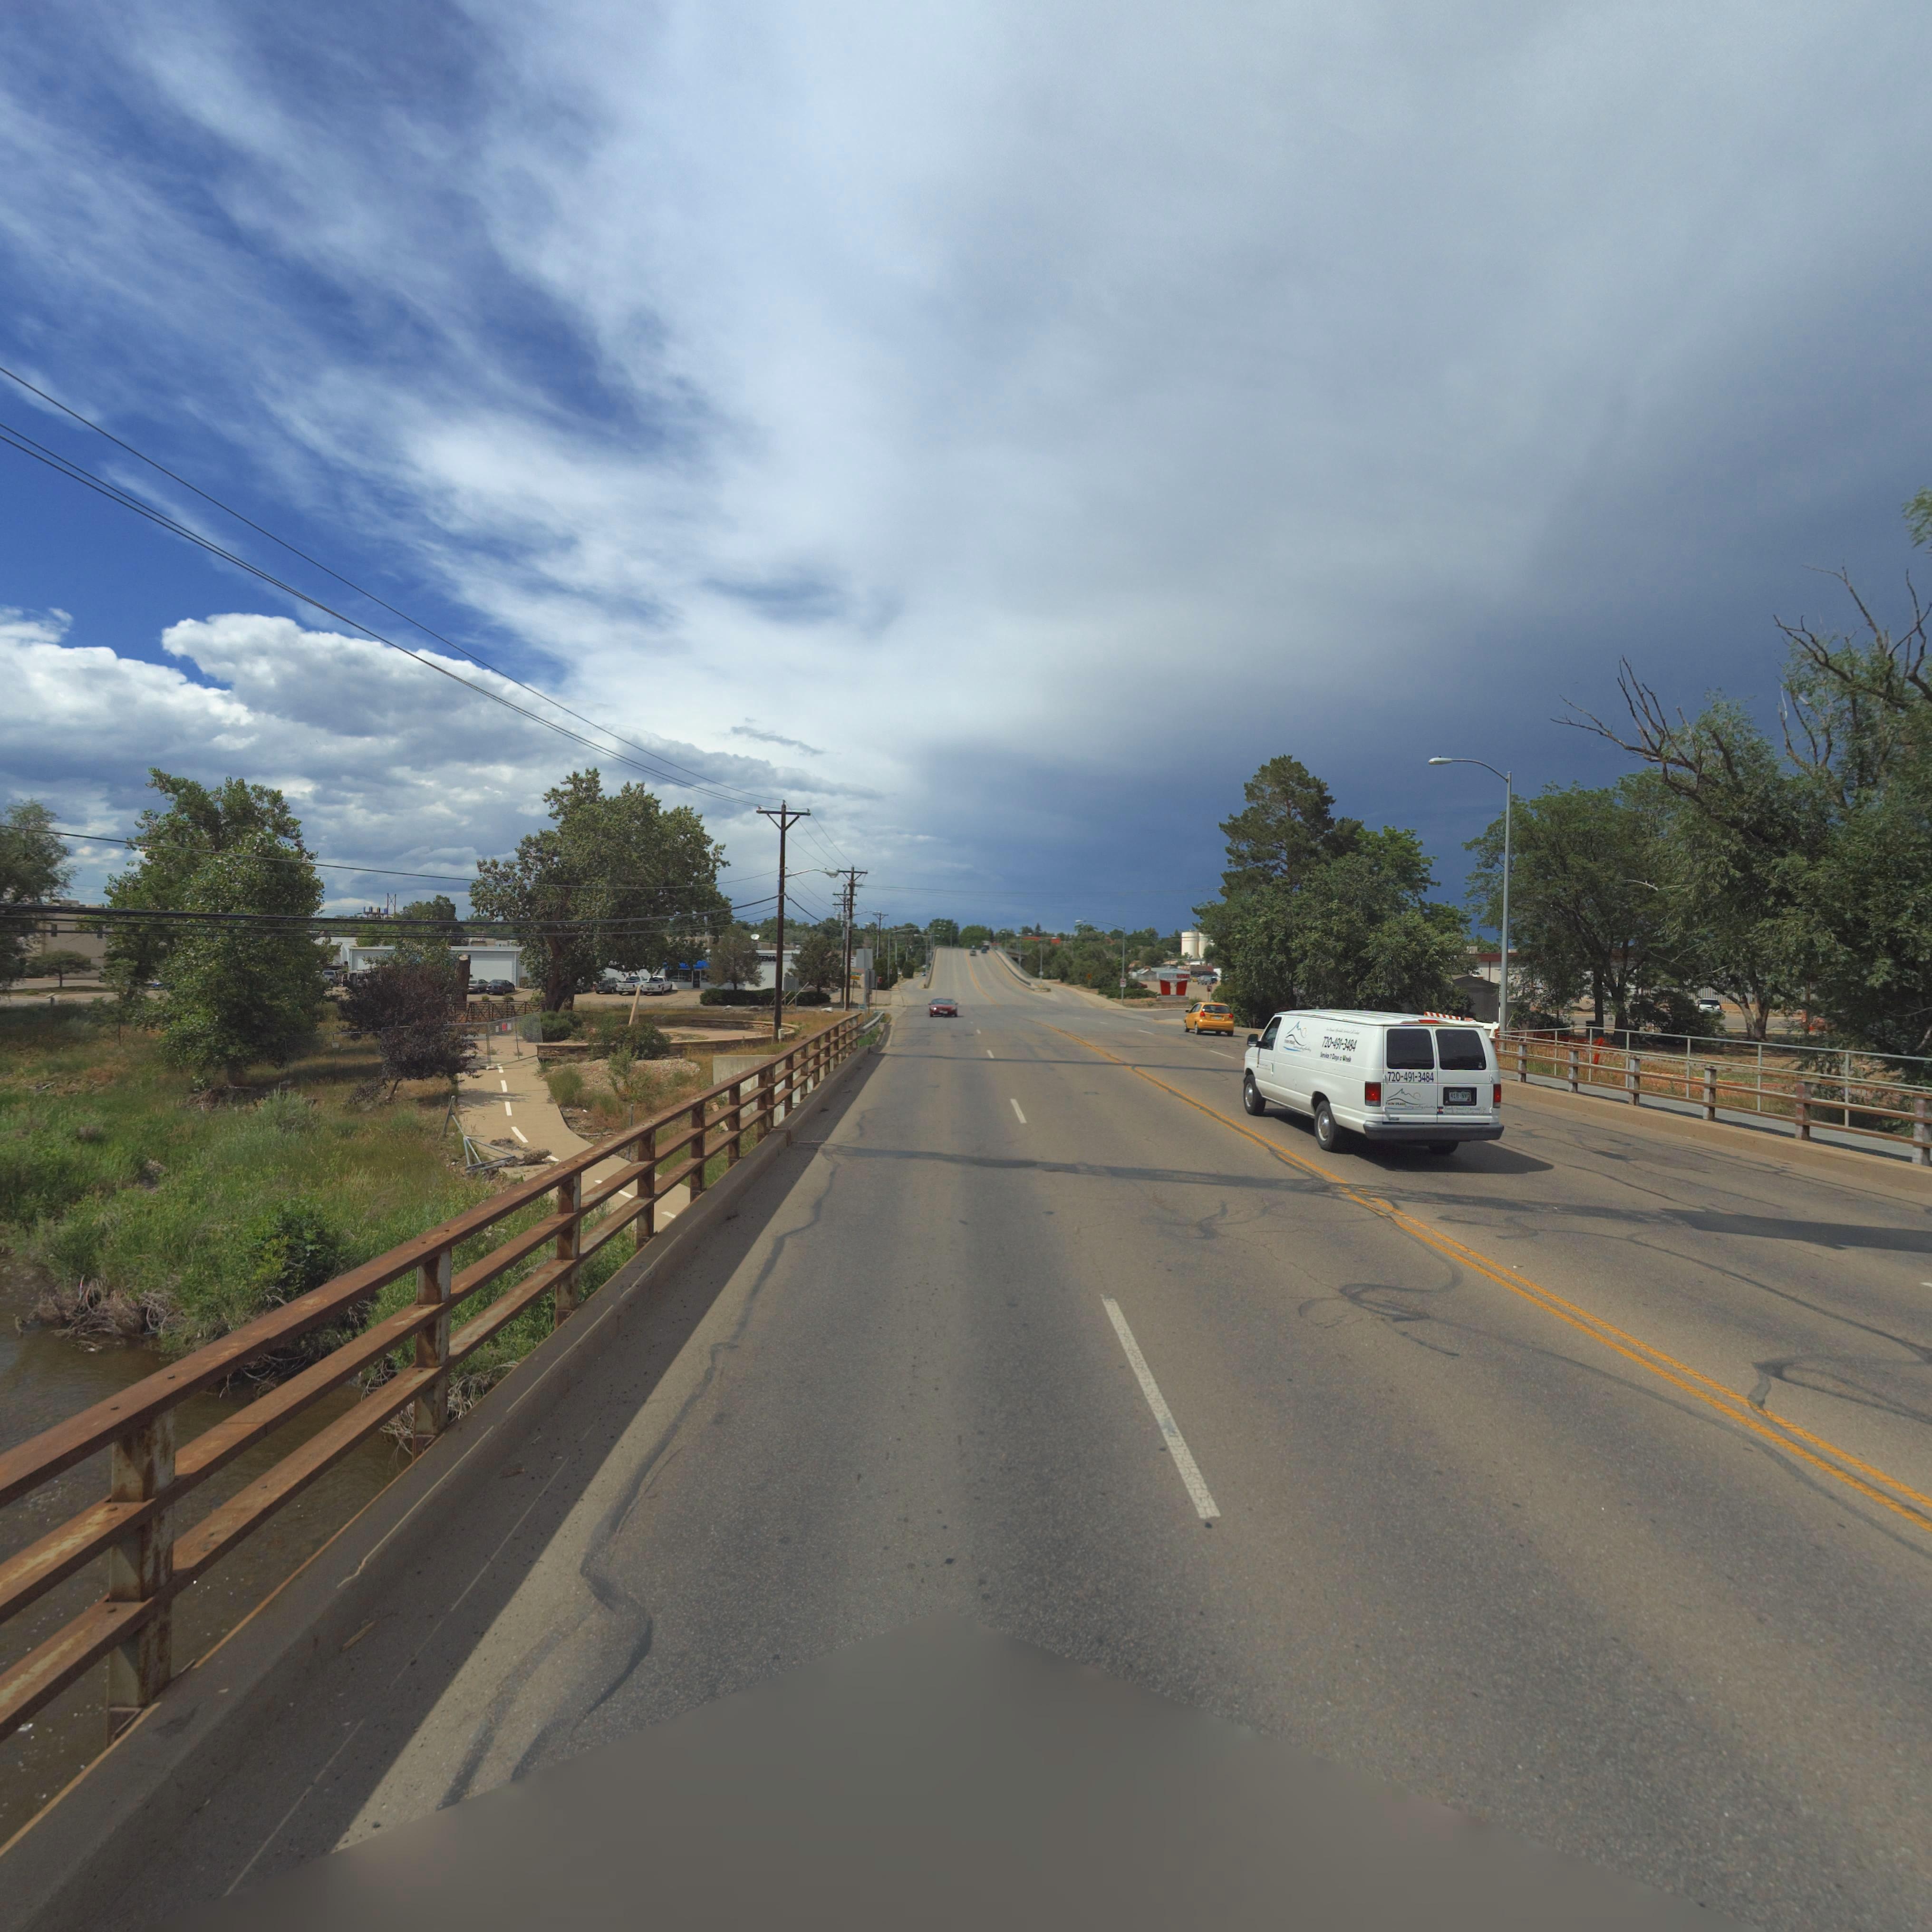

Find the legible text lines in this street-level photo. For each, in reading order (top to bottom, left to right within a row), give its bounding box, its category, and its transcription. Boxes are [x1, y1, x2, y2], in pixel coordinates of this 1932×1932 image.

[1176, 974, 1190, 979] BusinessName: HOME